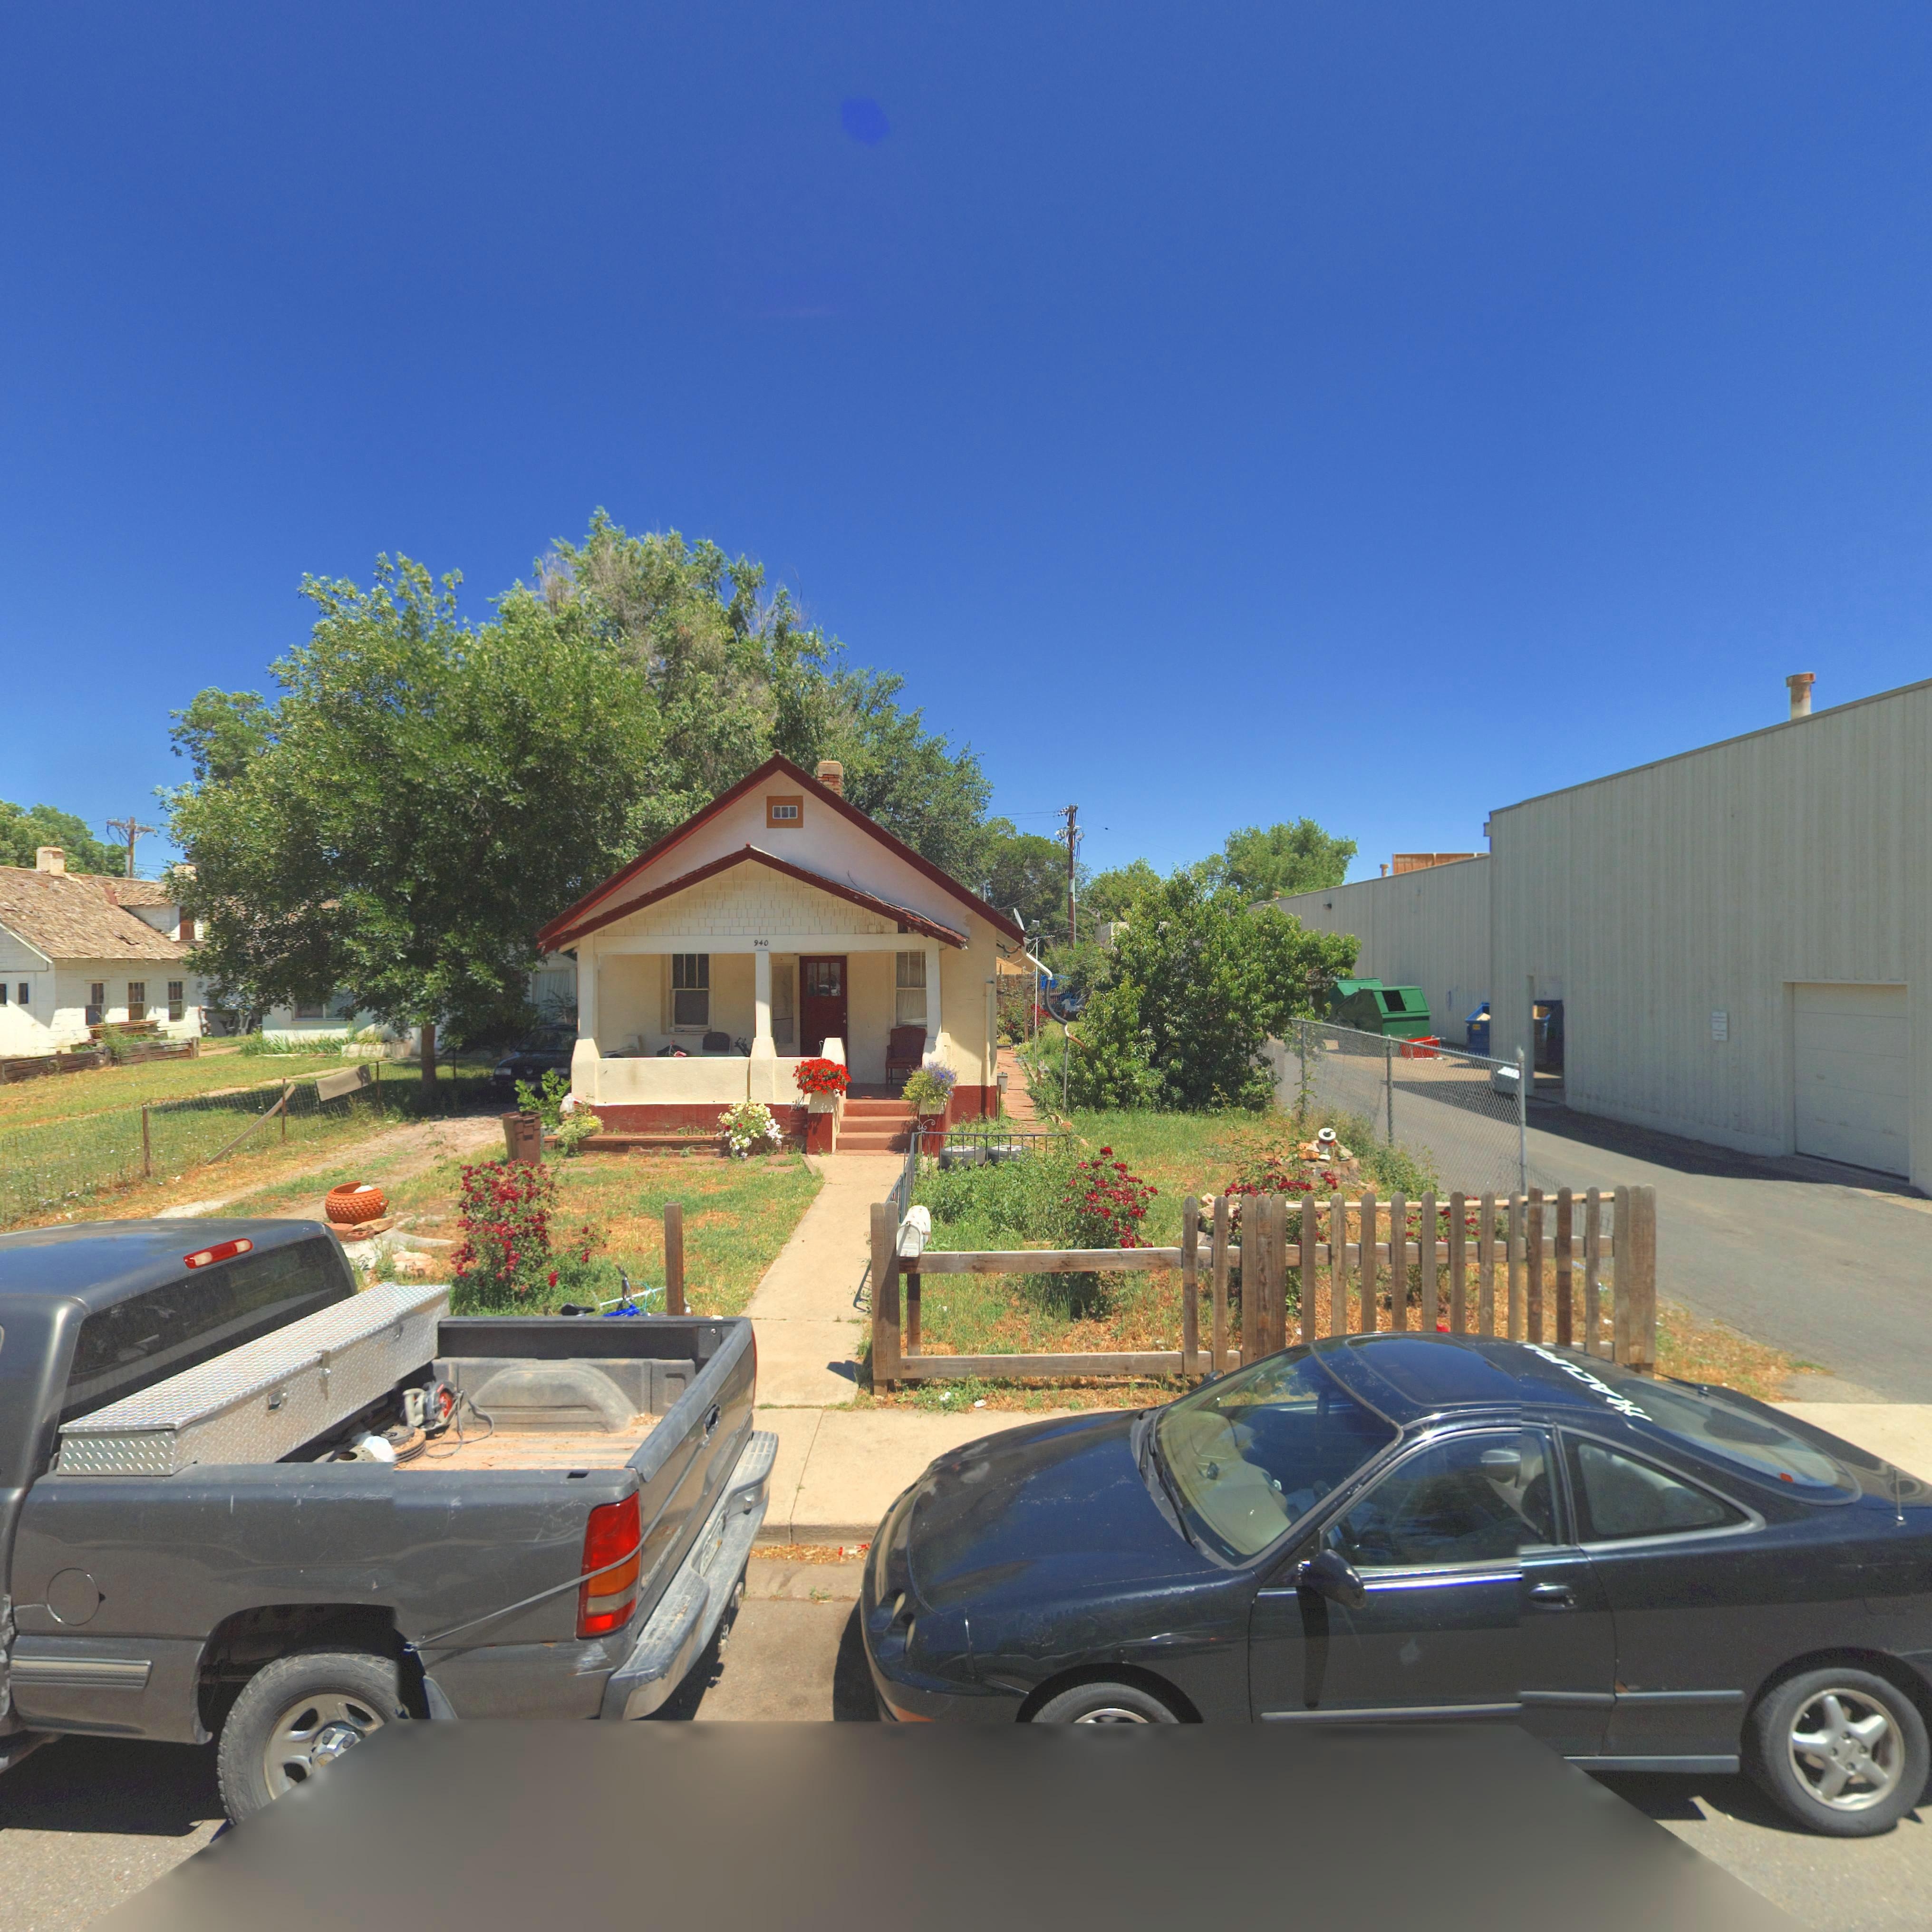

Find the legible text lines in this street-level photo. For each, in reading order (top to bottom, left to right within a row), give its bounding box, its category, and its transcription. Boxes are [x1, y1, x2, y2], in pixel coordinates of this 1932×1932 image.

[753, 939, 769, 947] StreetNumber: 940